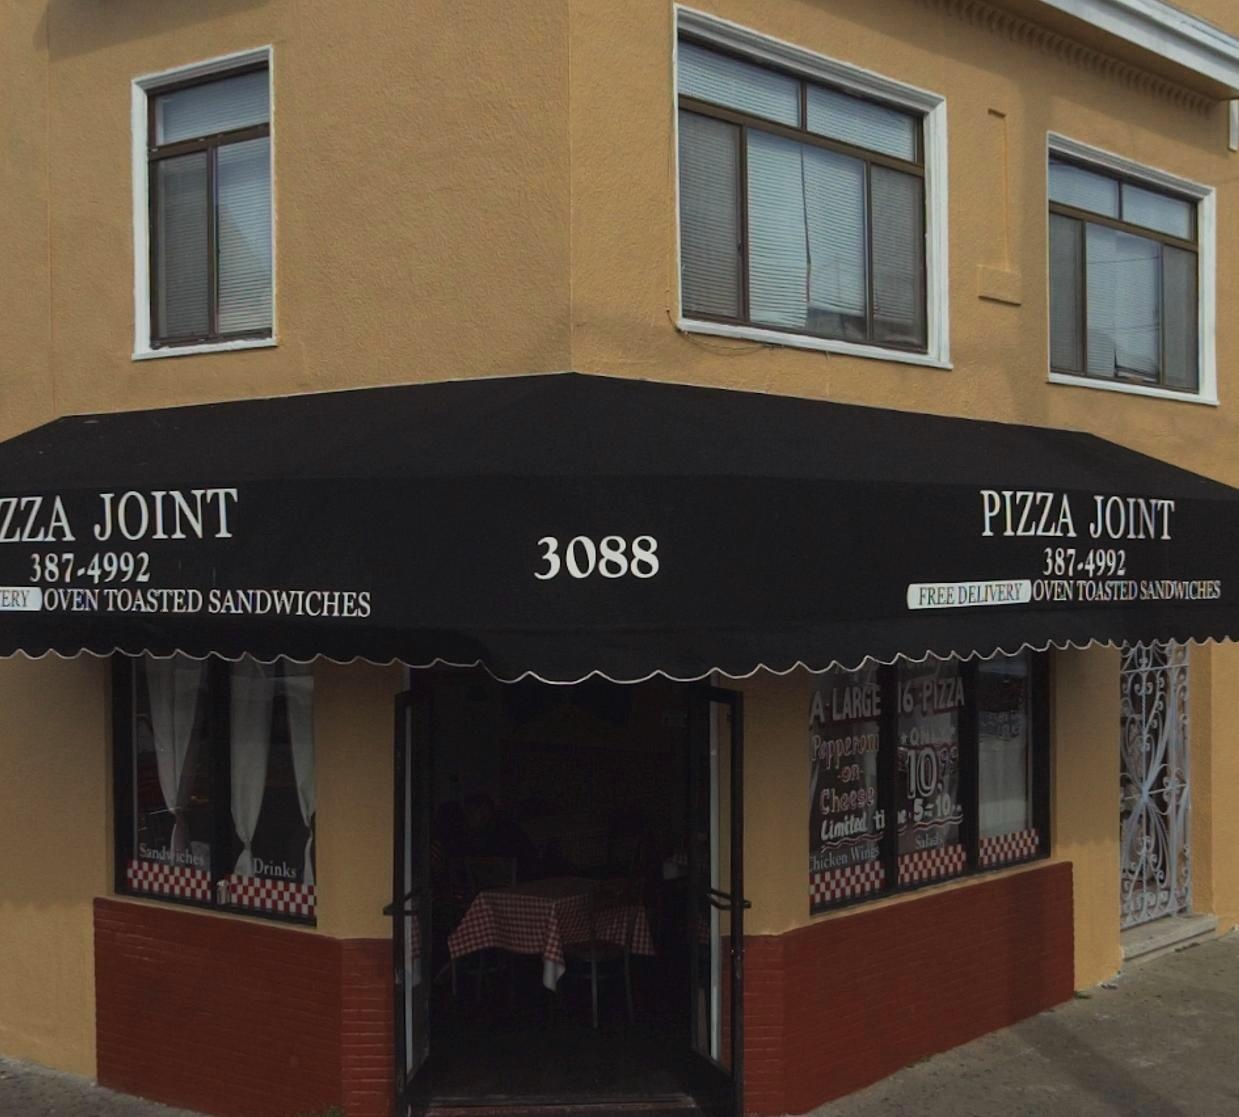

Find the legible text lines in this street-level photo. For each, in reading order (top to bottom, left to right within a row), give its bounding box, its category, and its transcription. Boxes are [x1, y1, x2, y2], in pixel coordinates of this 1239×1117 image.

[18, 486, 240, 543] BusinessName: ZA JOINT
[977, 487, 1177, 542] BusinessName: PIZZA JOINT
[26, 549, 152, 584] None: 387-4992
[532, 532, 662, 581] StreetNumber: 3088
[1039, 544, 1128, 578] None: 387-4992
[10, 588, 373, 621] None: RY OVEN TOASTED SANDWICHES
[917, 577, 1224, 607] None: FREE DELIVERY OVEN TOASTED SANDWICHES
[806, 682, 883, 729] None: A-LARGE
[896, 673, 969, 717] None: 16 PIZZA
[810, 723, 881, 772] None: Pepperoni
[903, 743, 961, 803] None: 1099
[818, 784, 878, 817] None: Cheese
[912, 791, 955, 824] None: 5*10
[819, 809, 871, 844] None: Limited
[137, 839, 206, 868] None: Sandwiches
[252, 855, 299, 881] None: Drinks
[812, 843, 882, 873] None: hicken Wings